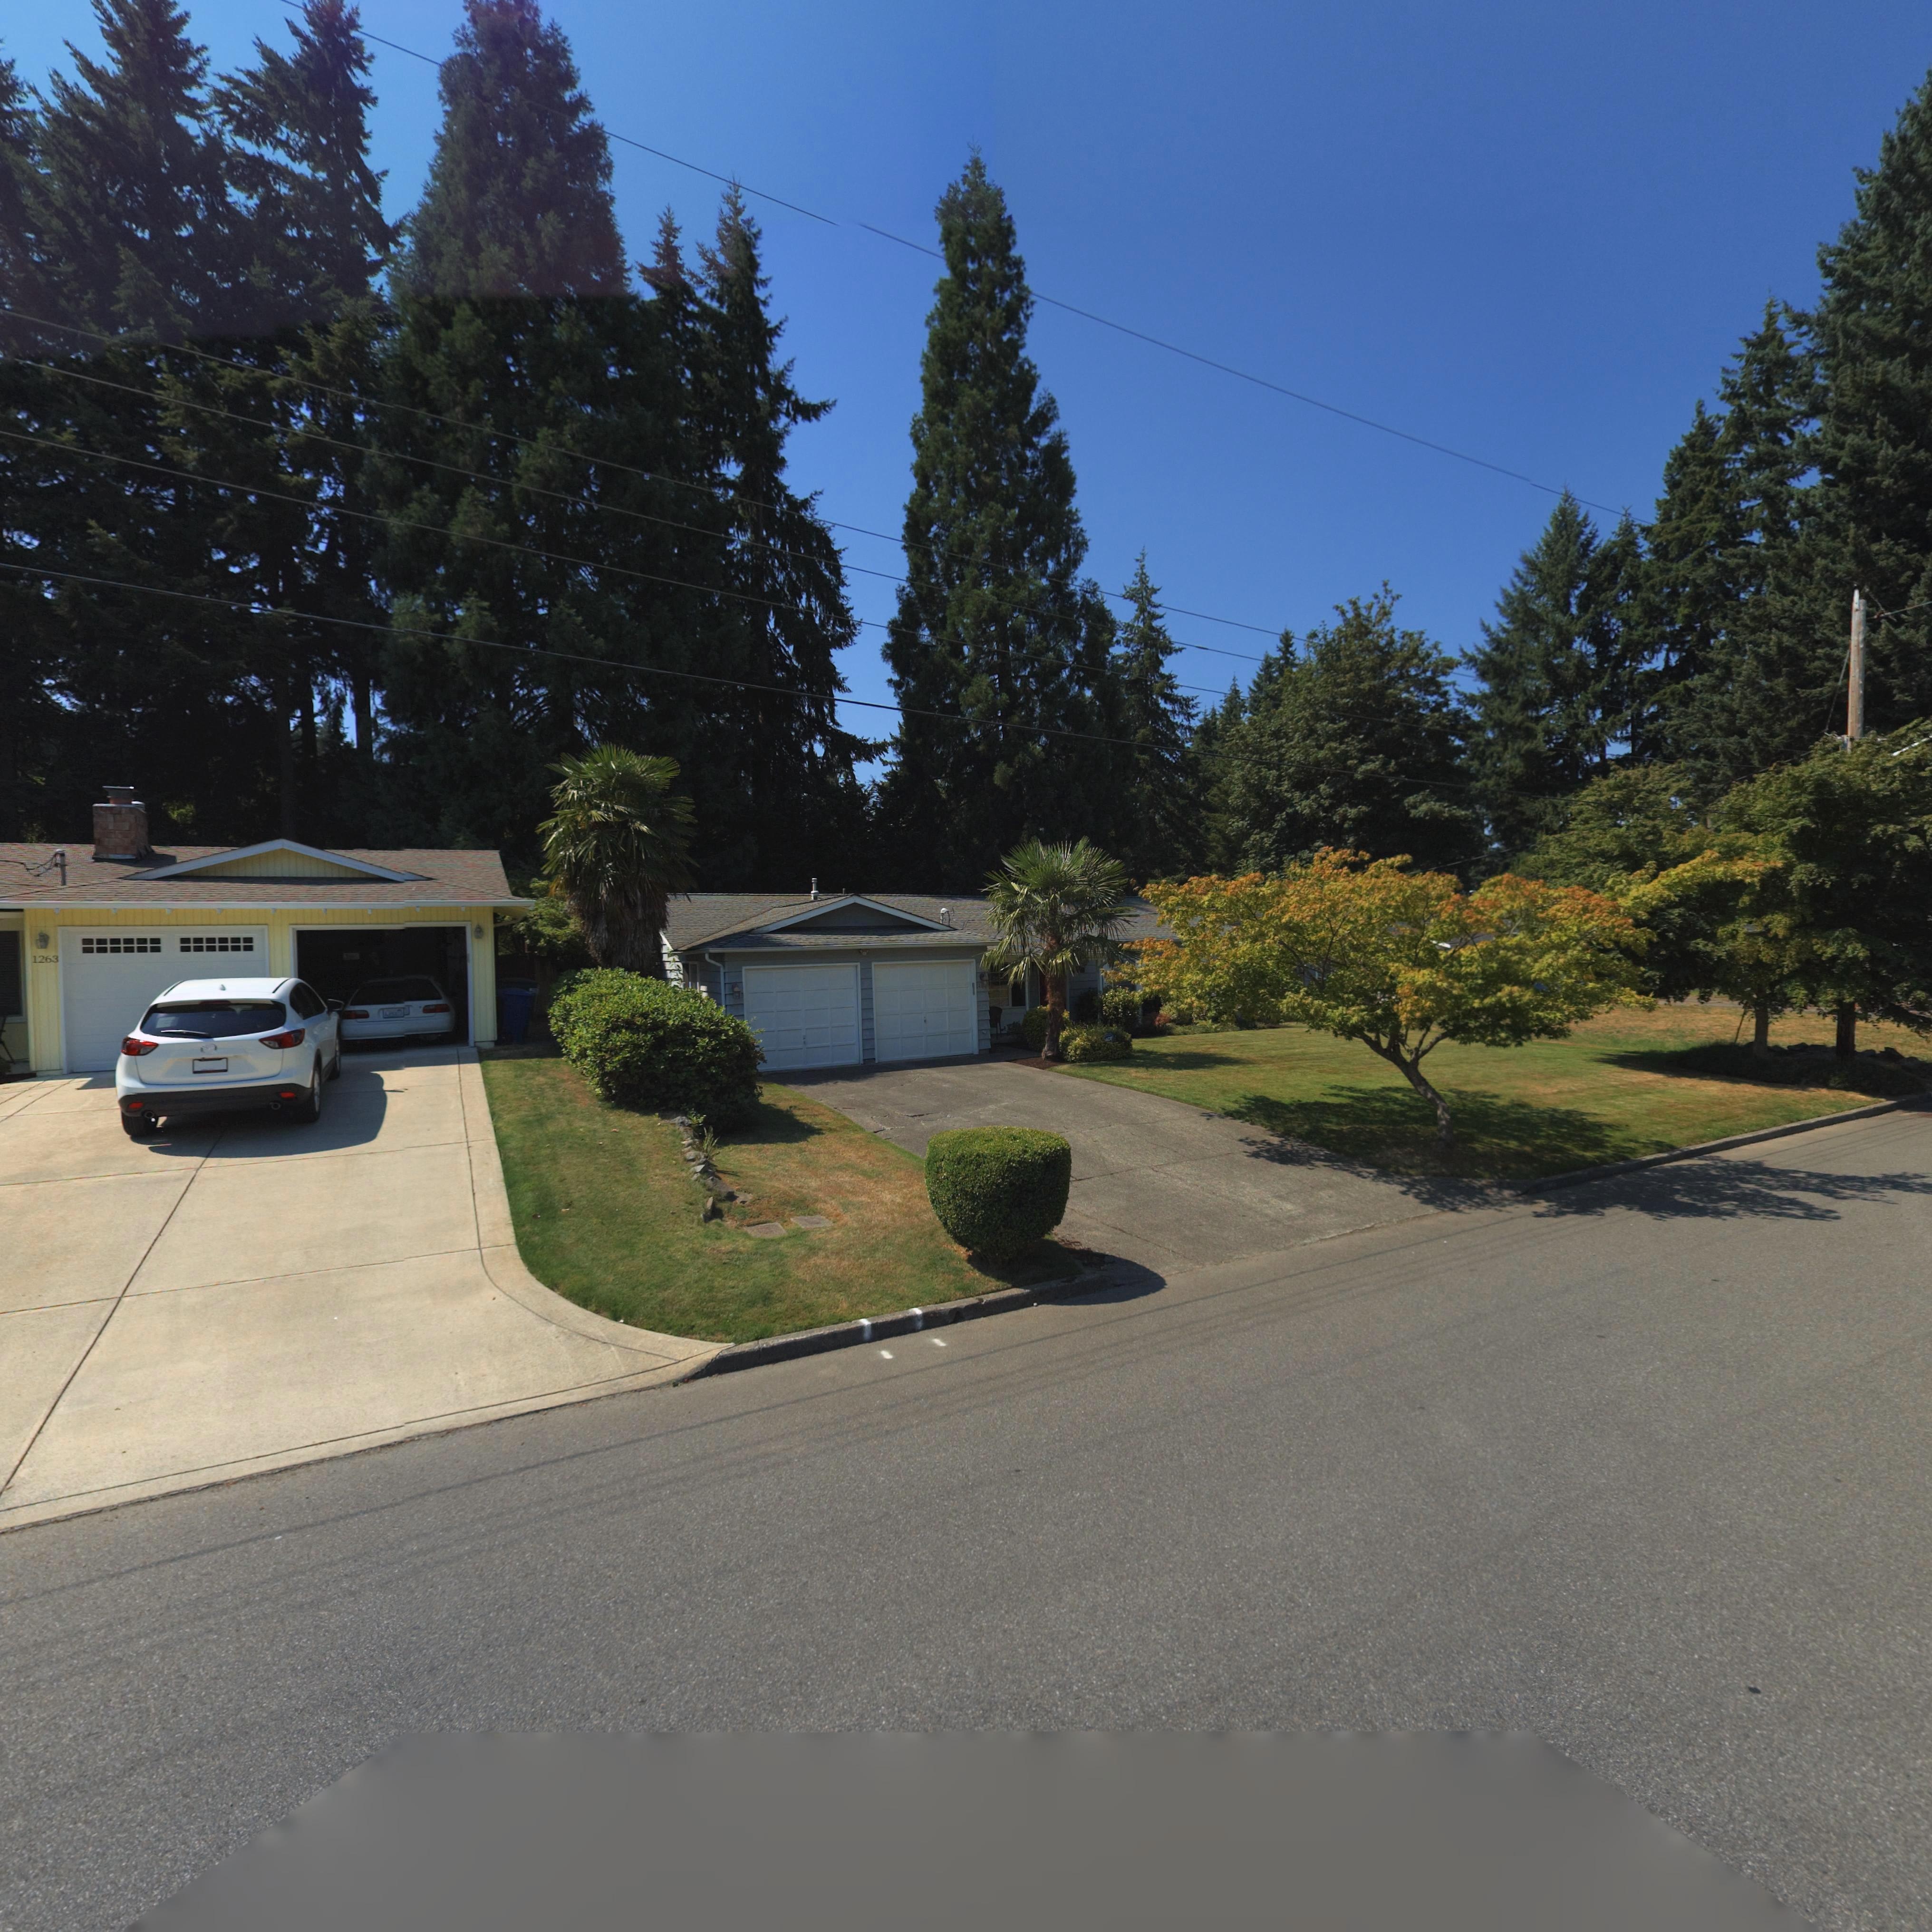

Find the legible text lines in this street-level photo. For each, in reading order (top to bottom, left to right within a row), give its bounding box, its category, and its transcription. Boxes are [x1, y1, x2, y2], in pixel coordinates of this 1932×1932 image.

[32, 955, 59, 963] StreetNumber: 1263